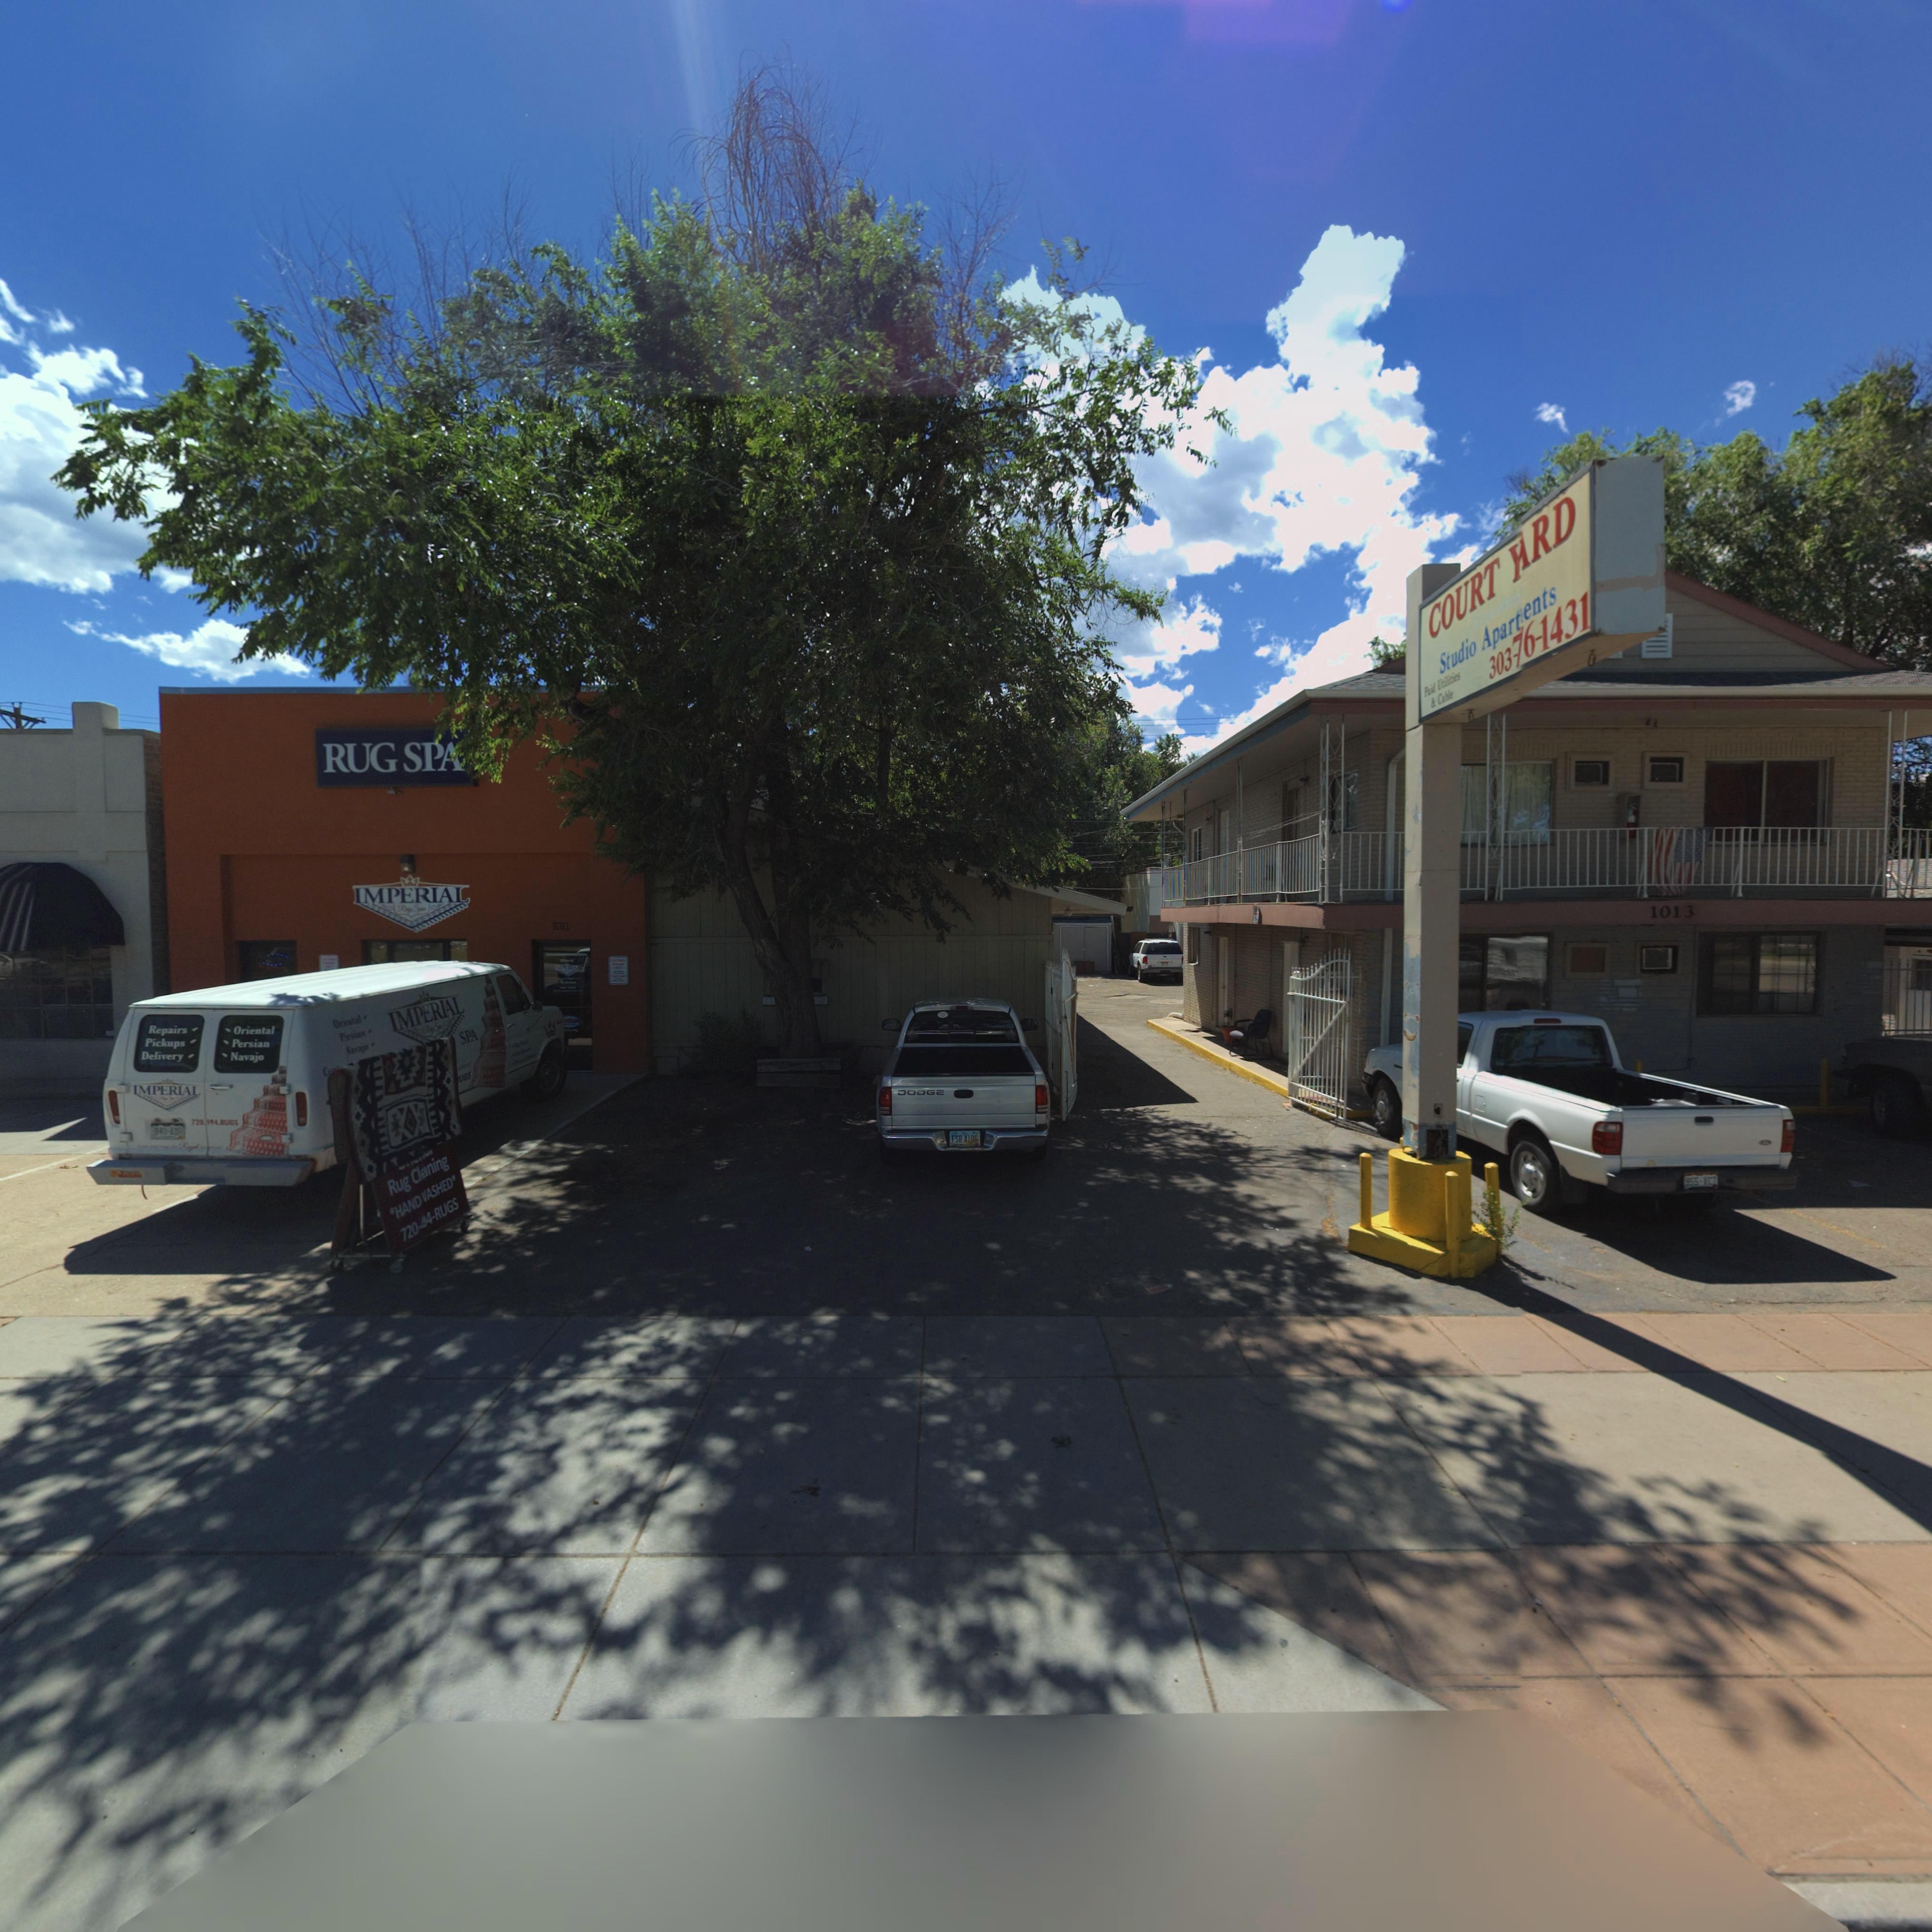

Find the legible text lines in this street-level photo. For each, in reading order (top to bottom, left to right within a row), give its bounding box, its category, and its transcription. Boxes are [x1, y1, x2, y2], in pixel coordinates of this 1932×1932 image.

[1428, 495, 1575, 640] BusinessName: COURT Y*RD
[1439, 586, 1557, 675] BusinessName: Studio Apartments
[322, 741, 465, 773] BusinessName: RUG SPA
[355, 887, 469, 904] BusinessName: IMPERIAL
[396, 904, 426, 915] BusinessName: R** S**
[1650, 905, 1694, 918] StreetNumber: 1013
[552, 921, 569, 930] StreetNumber: 1011